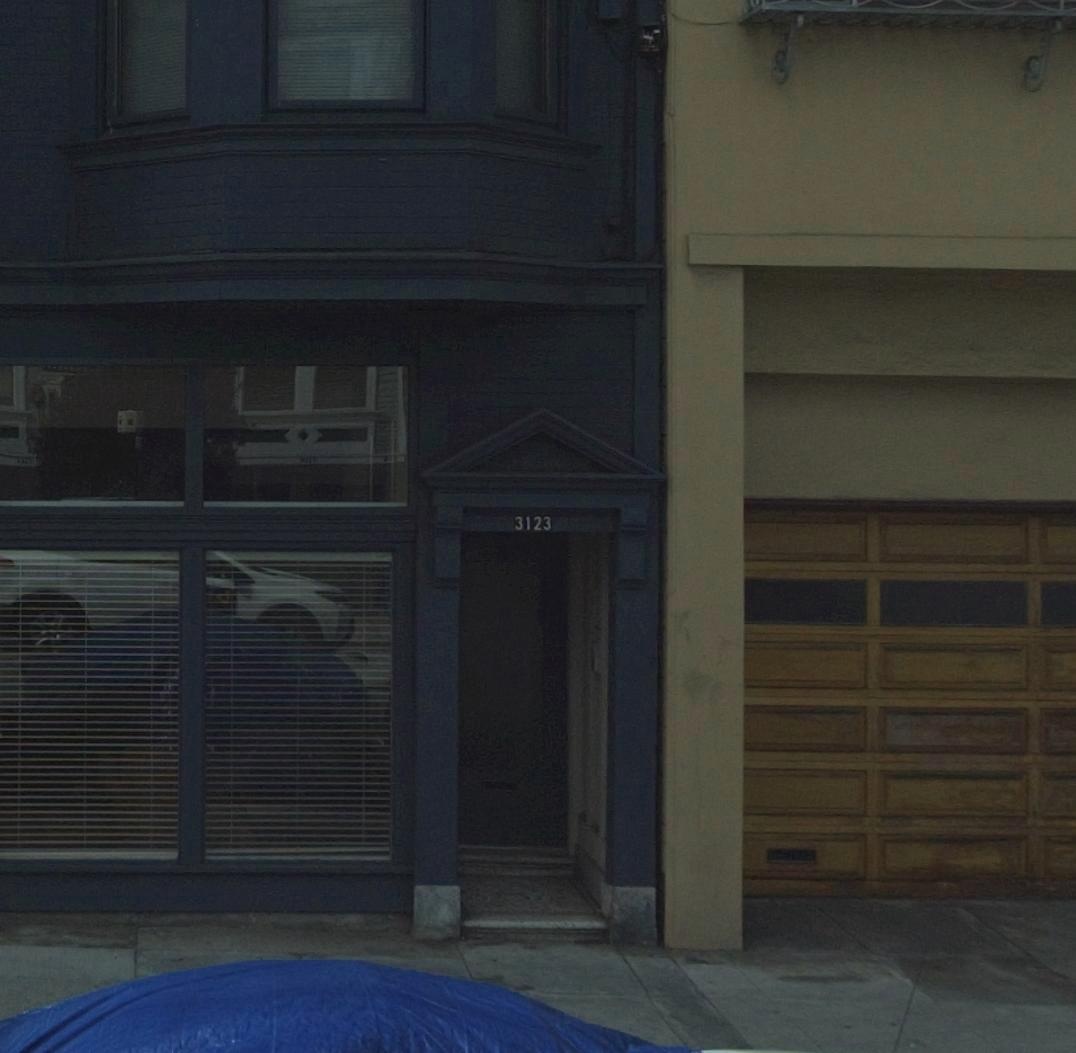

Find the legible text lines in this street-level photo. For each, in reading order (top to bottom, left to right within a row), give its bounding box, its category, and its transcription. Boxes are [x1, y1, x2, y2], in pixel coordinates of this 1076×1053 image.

[513, 514, 553, 533] StreetNumber: 3123